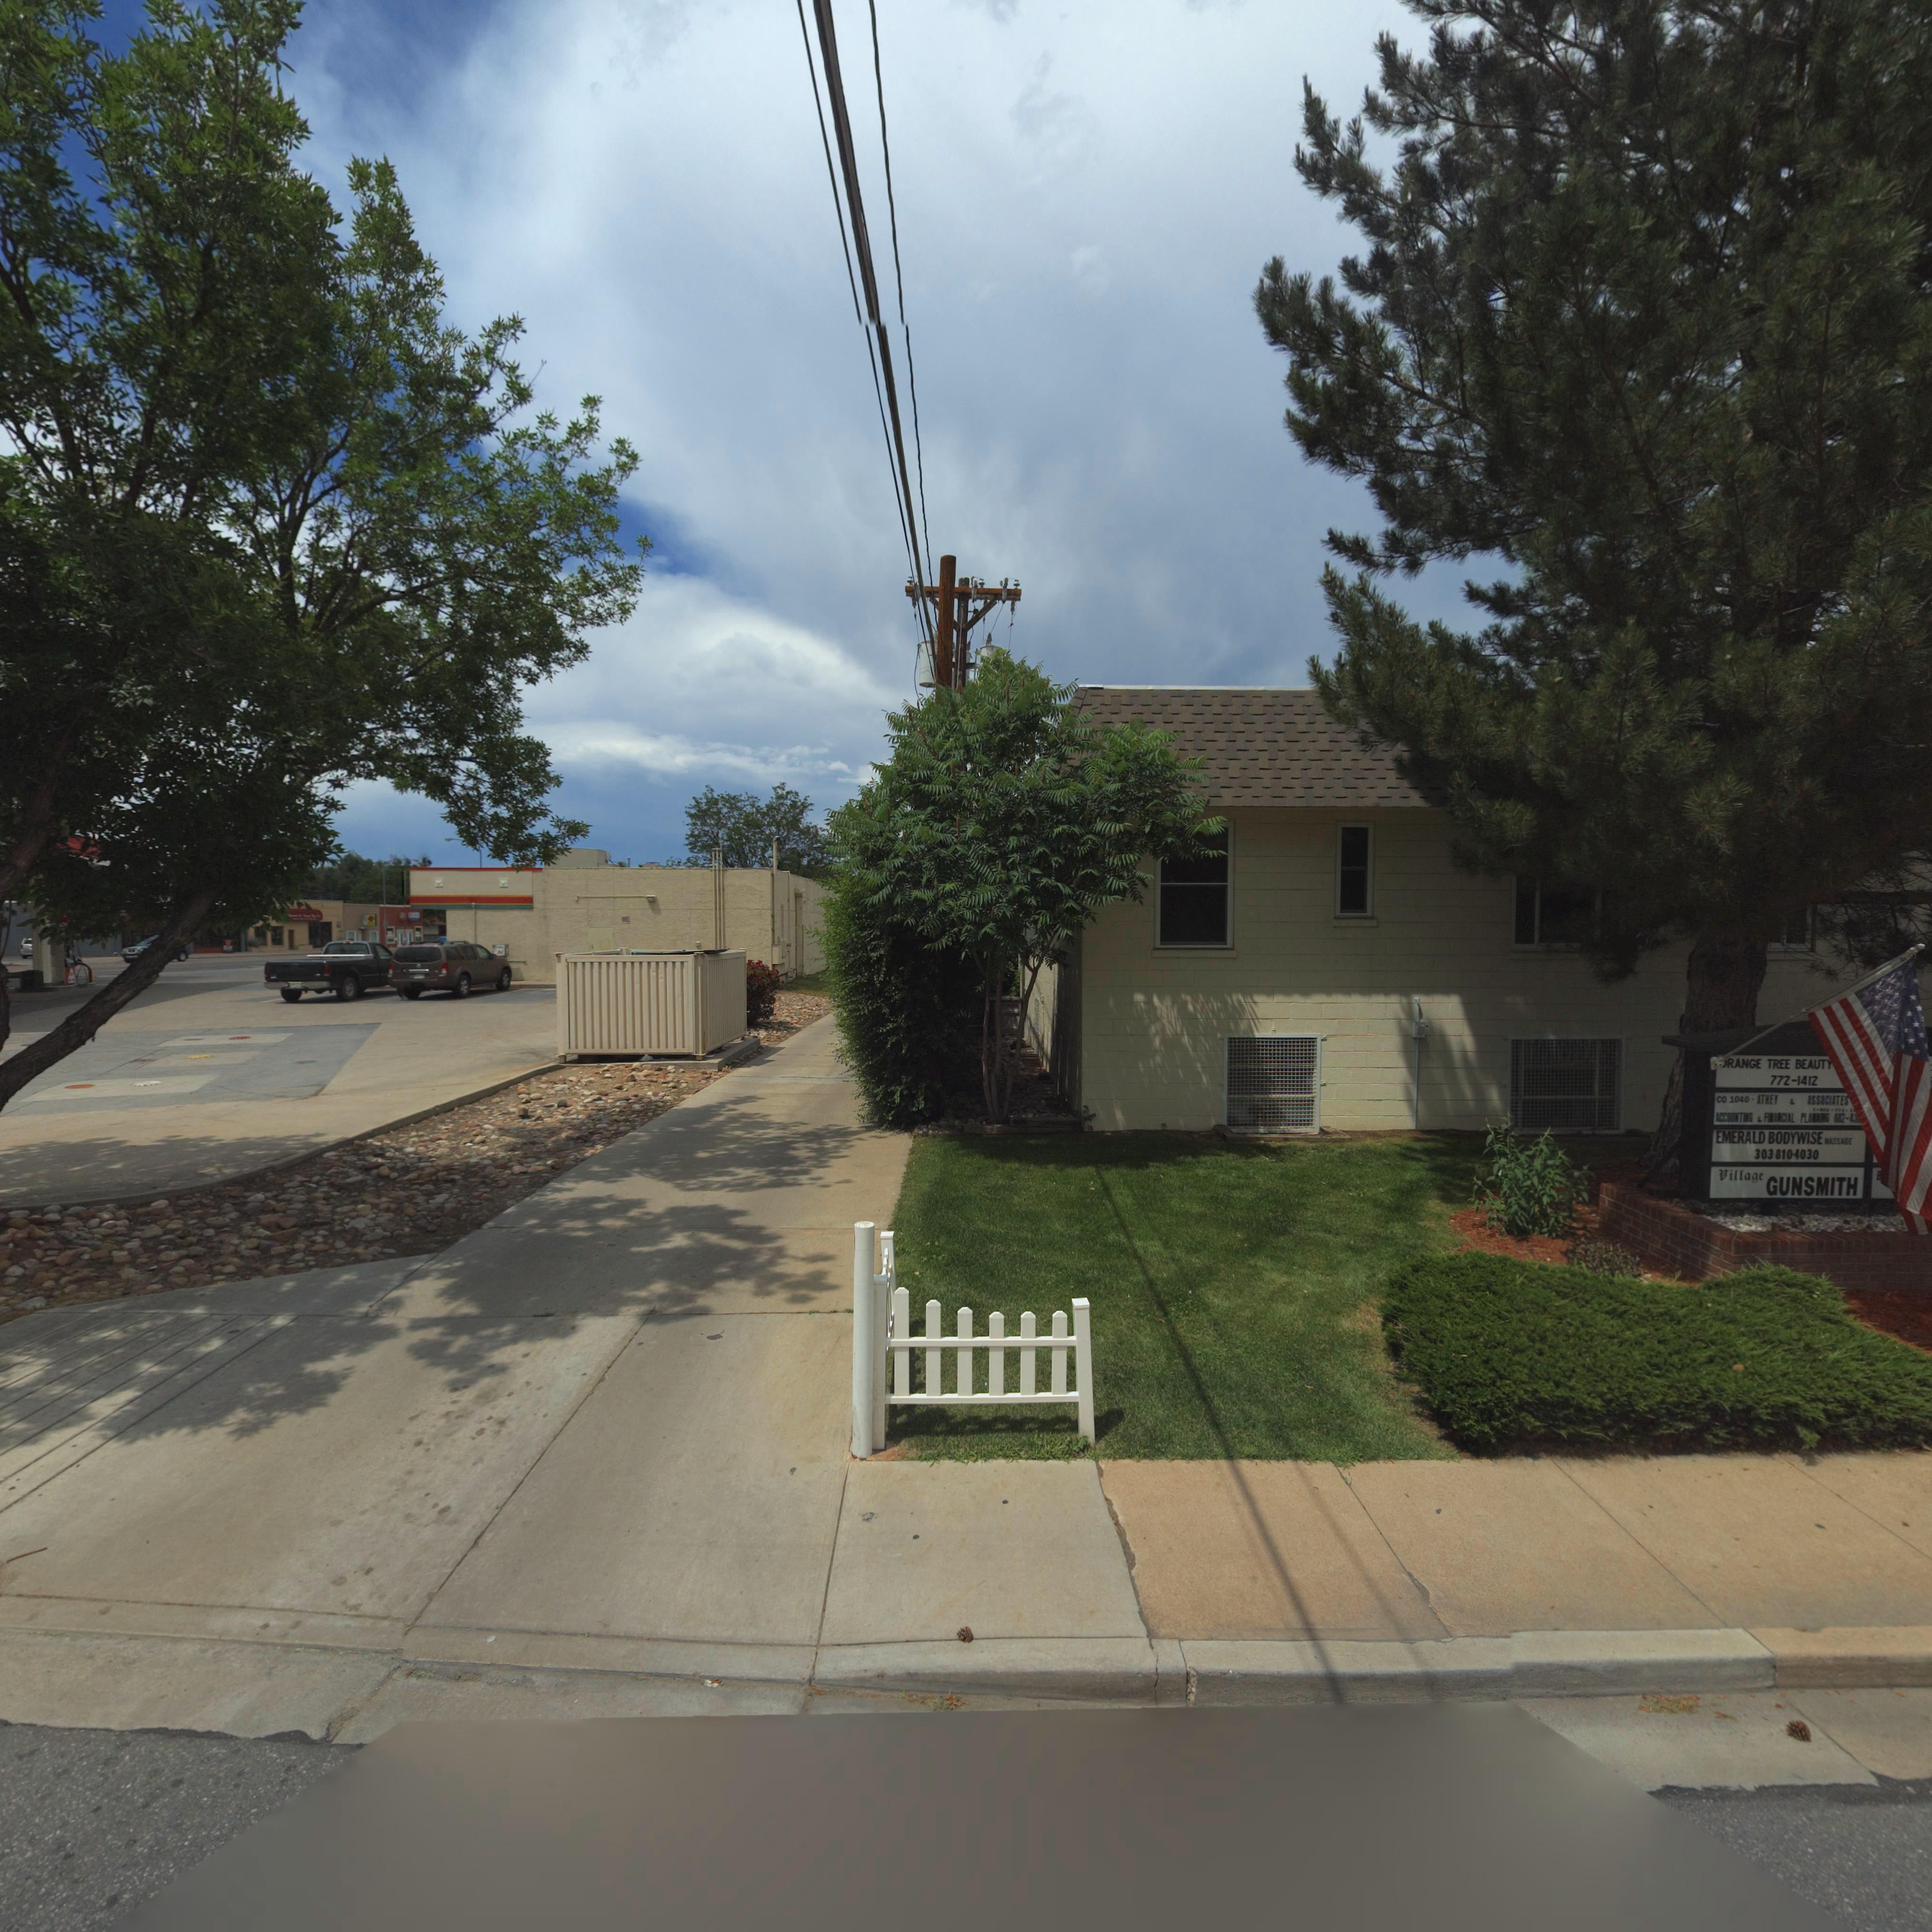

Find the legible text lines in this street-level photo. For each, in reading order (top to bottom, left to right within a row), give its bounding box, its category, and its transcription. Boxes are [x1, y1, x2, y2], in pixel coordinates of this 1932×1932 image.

[1719, 1058, 1833, 1069] BusinessName: ORANGE TREE BEAUTY *****
[1756, 1094, 1849, 1105] BusinessName: ATHEY & ASSOCIATES
[1716, 1130, 1823, 1145] BusinessName: EMERALD BODYWISE
[1825, 1138, 1852, 1145] BusinessName: MASSAGE
[1719, 1169, 1763, 1183] BusinessName: Village
[1766, 1175, 1857, 1196] BusinessName: GUNSMITH